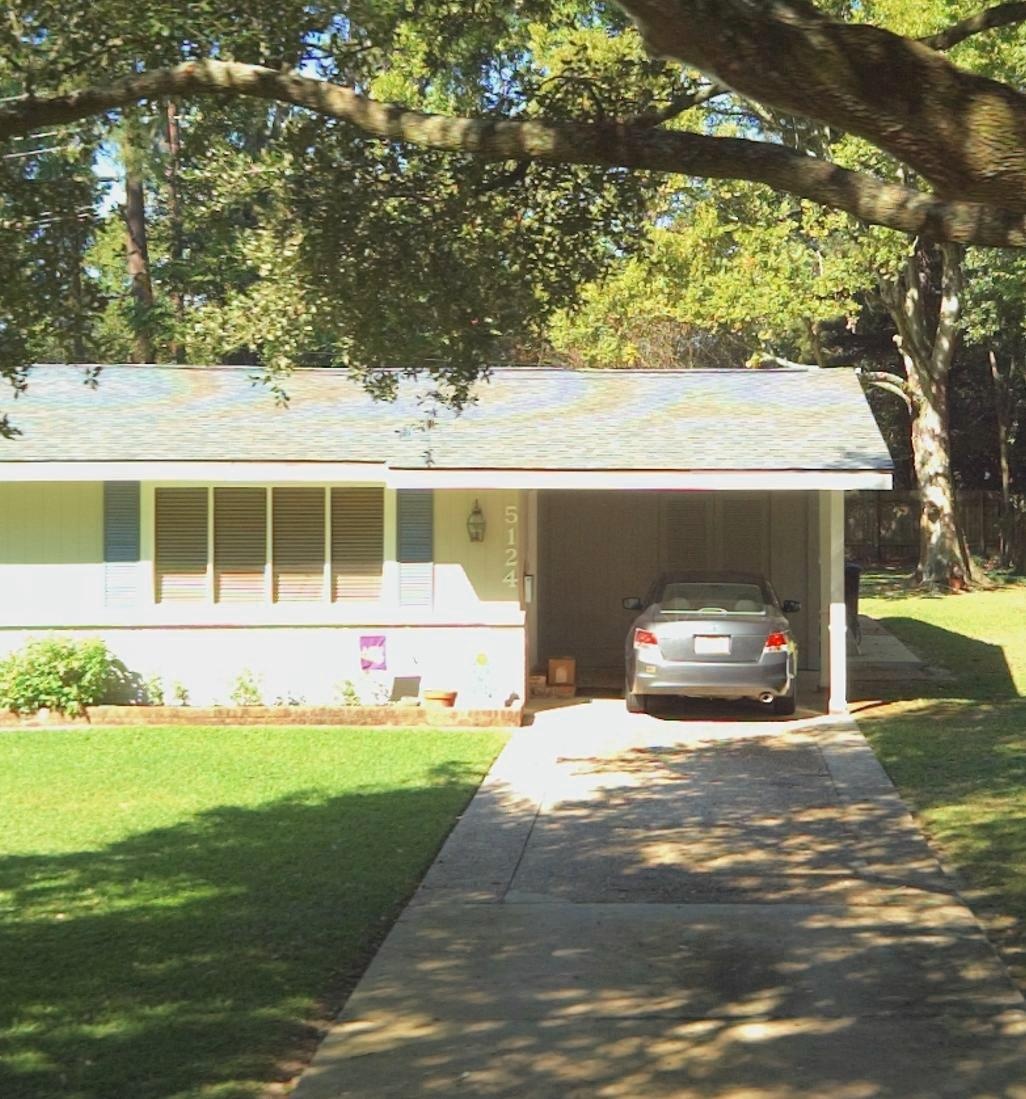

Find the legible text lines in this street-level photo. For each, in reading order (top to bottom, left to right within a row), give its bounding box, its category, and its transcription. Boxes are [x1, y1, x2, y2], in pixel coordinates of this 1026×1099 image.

[500, 505, 520, 589] StreetNumber: 5124